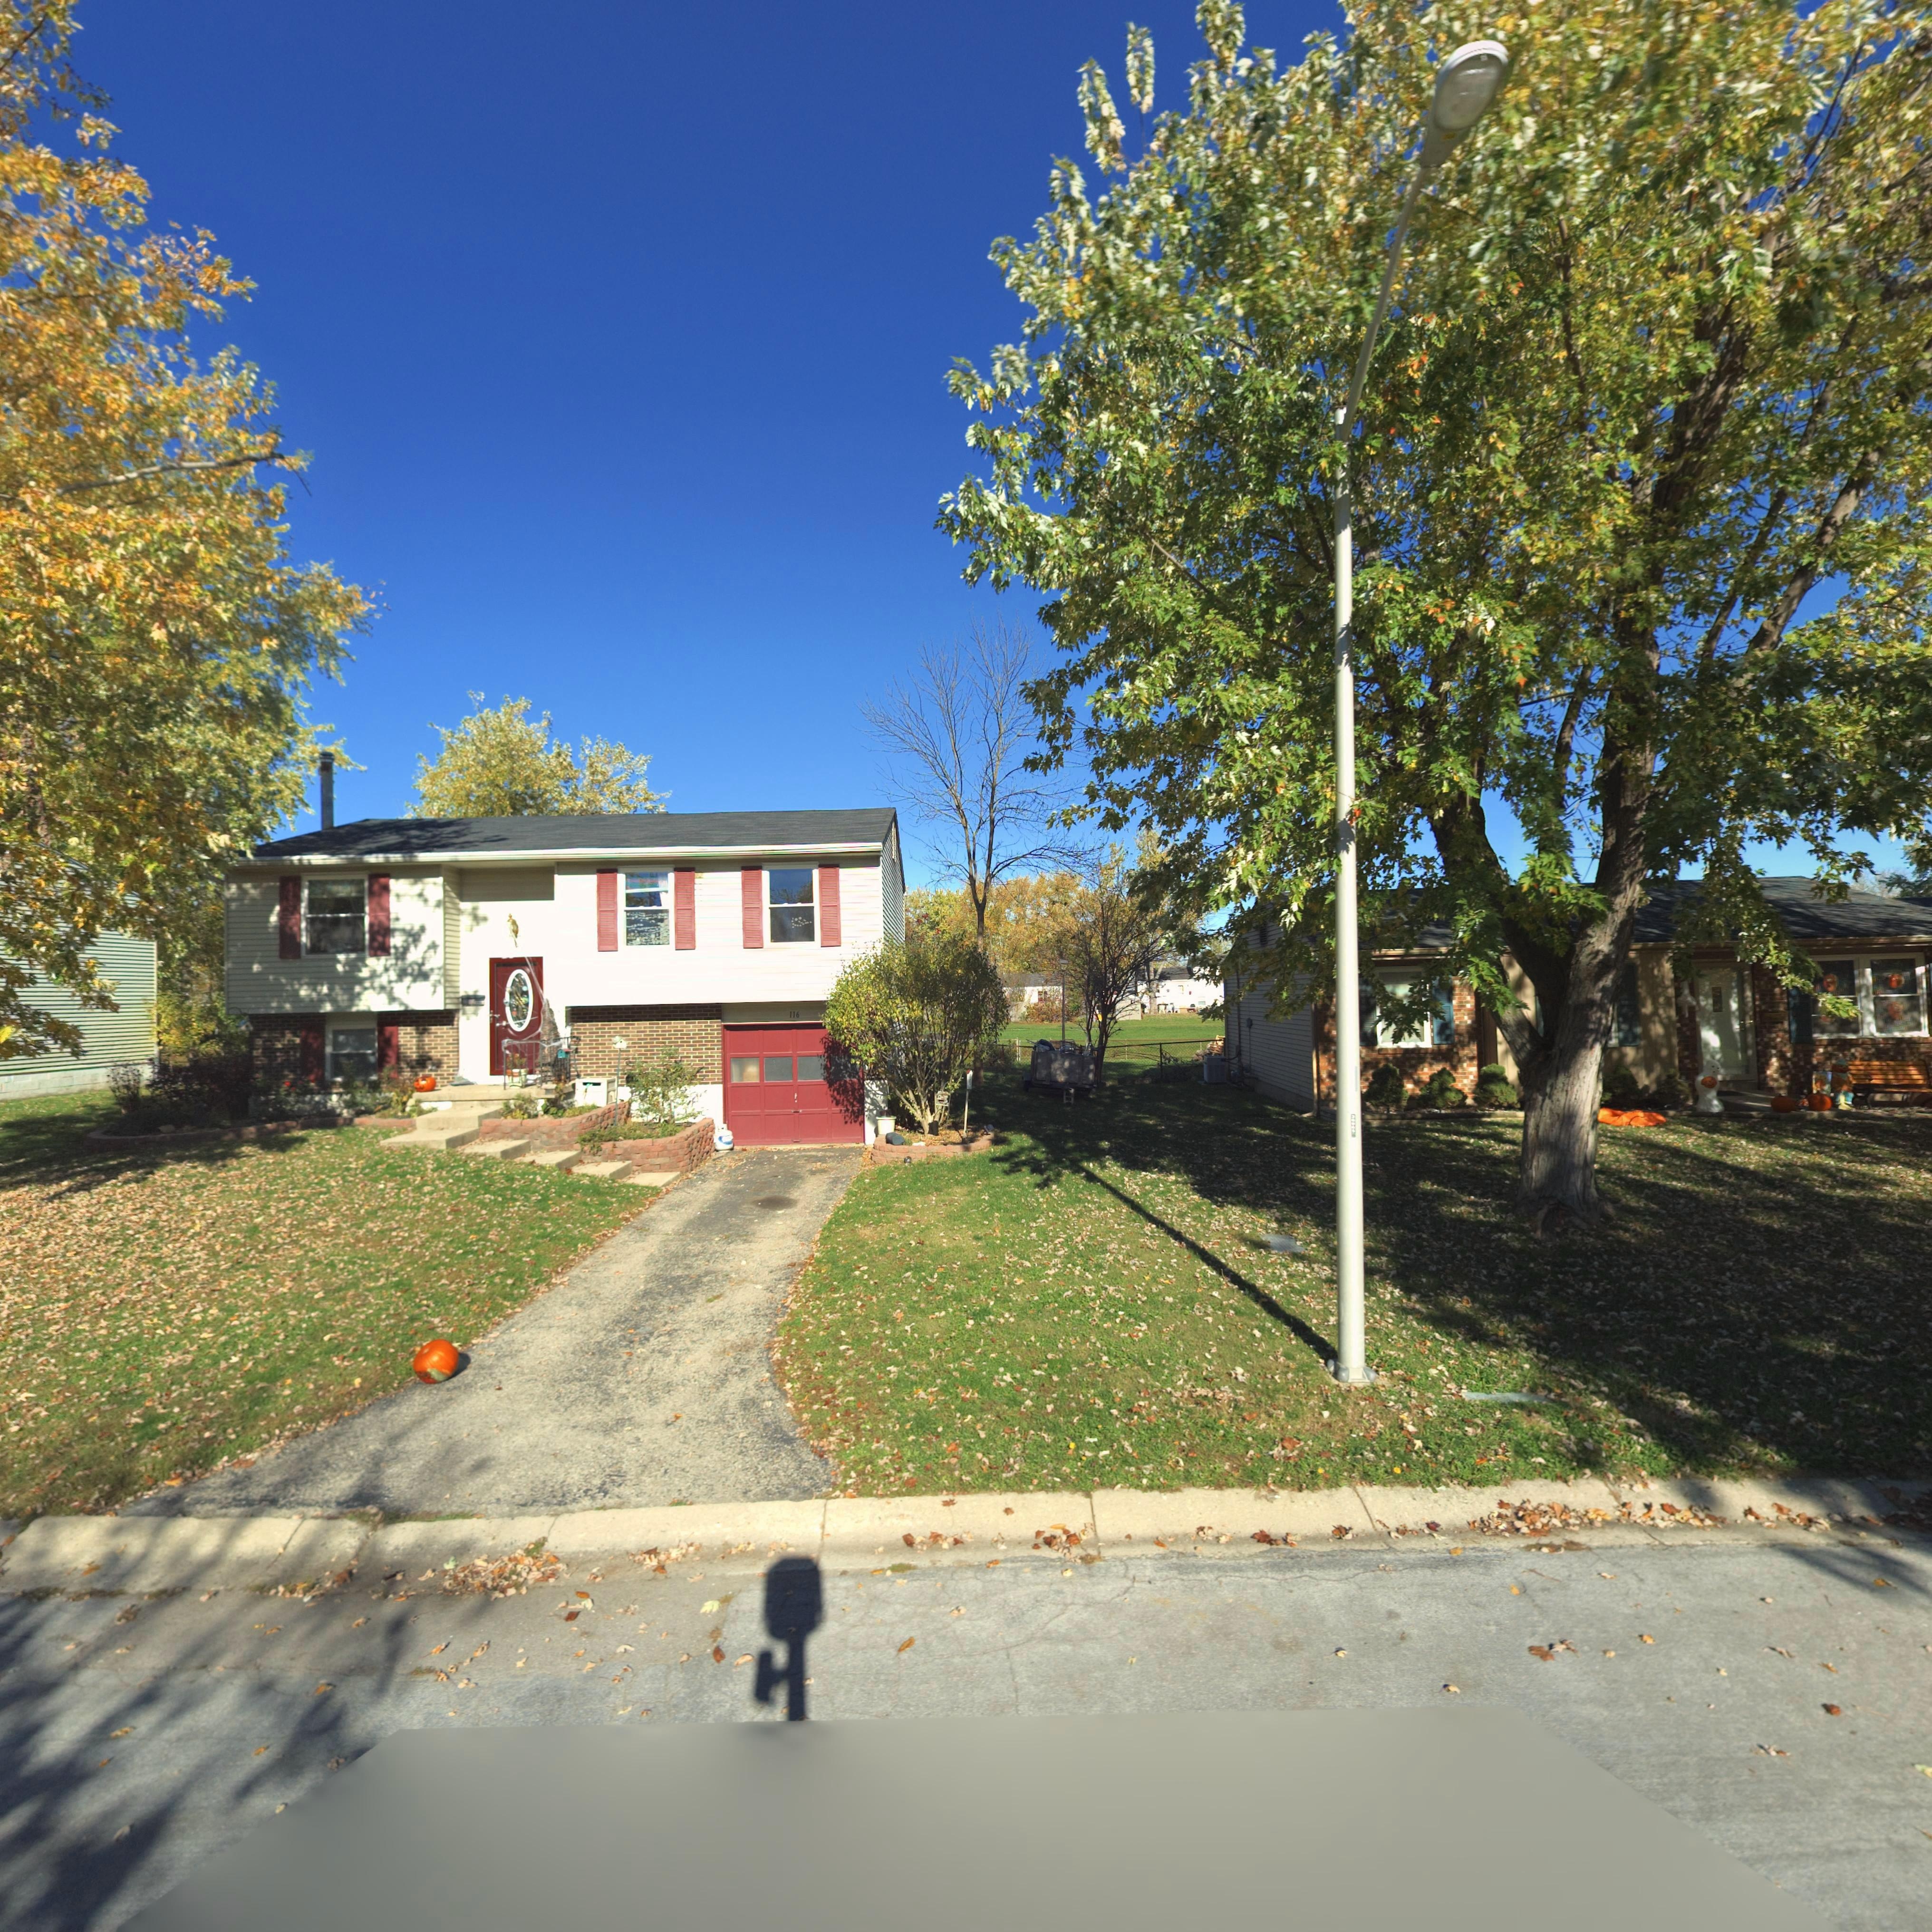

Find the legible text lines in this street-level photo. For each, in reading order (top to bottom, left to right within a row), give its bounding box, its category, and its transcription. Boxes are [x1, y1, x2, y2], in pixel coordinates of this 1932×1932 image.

[789, 1011, 800, 1019] StreetNumber: 116